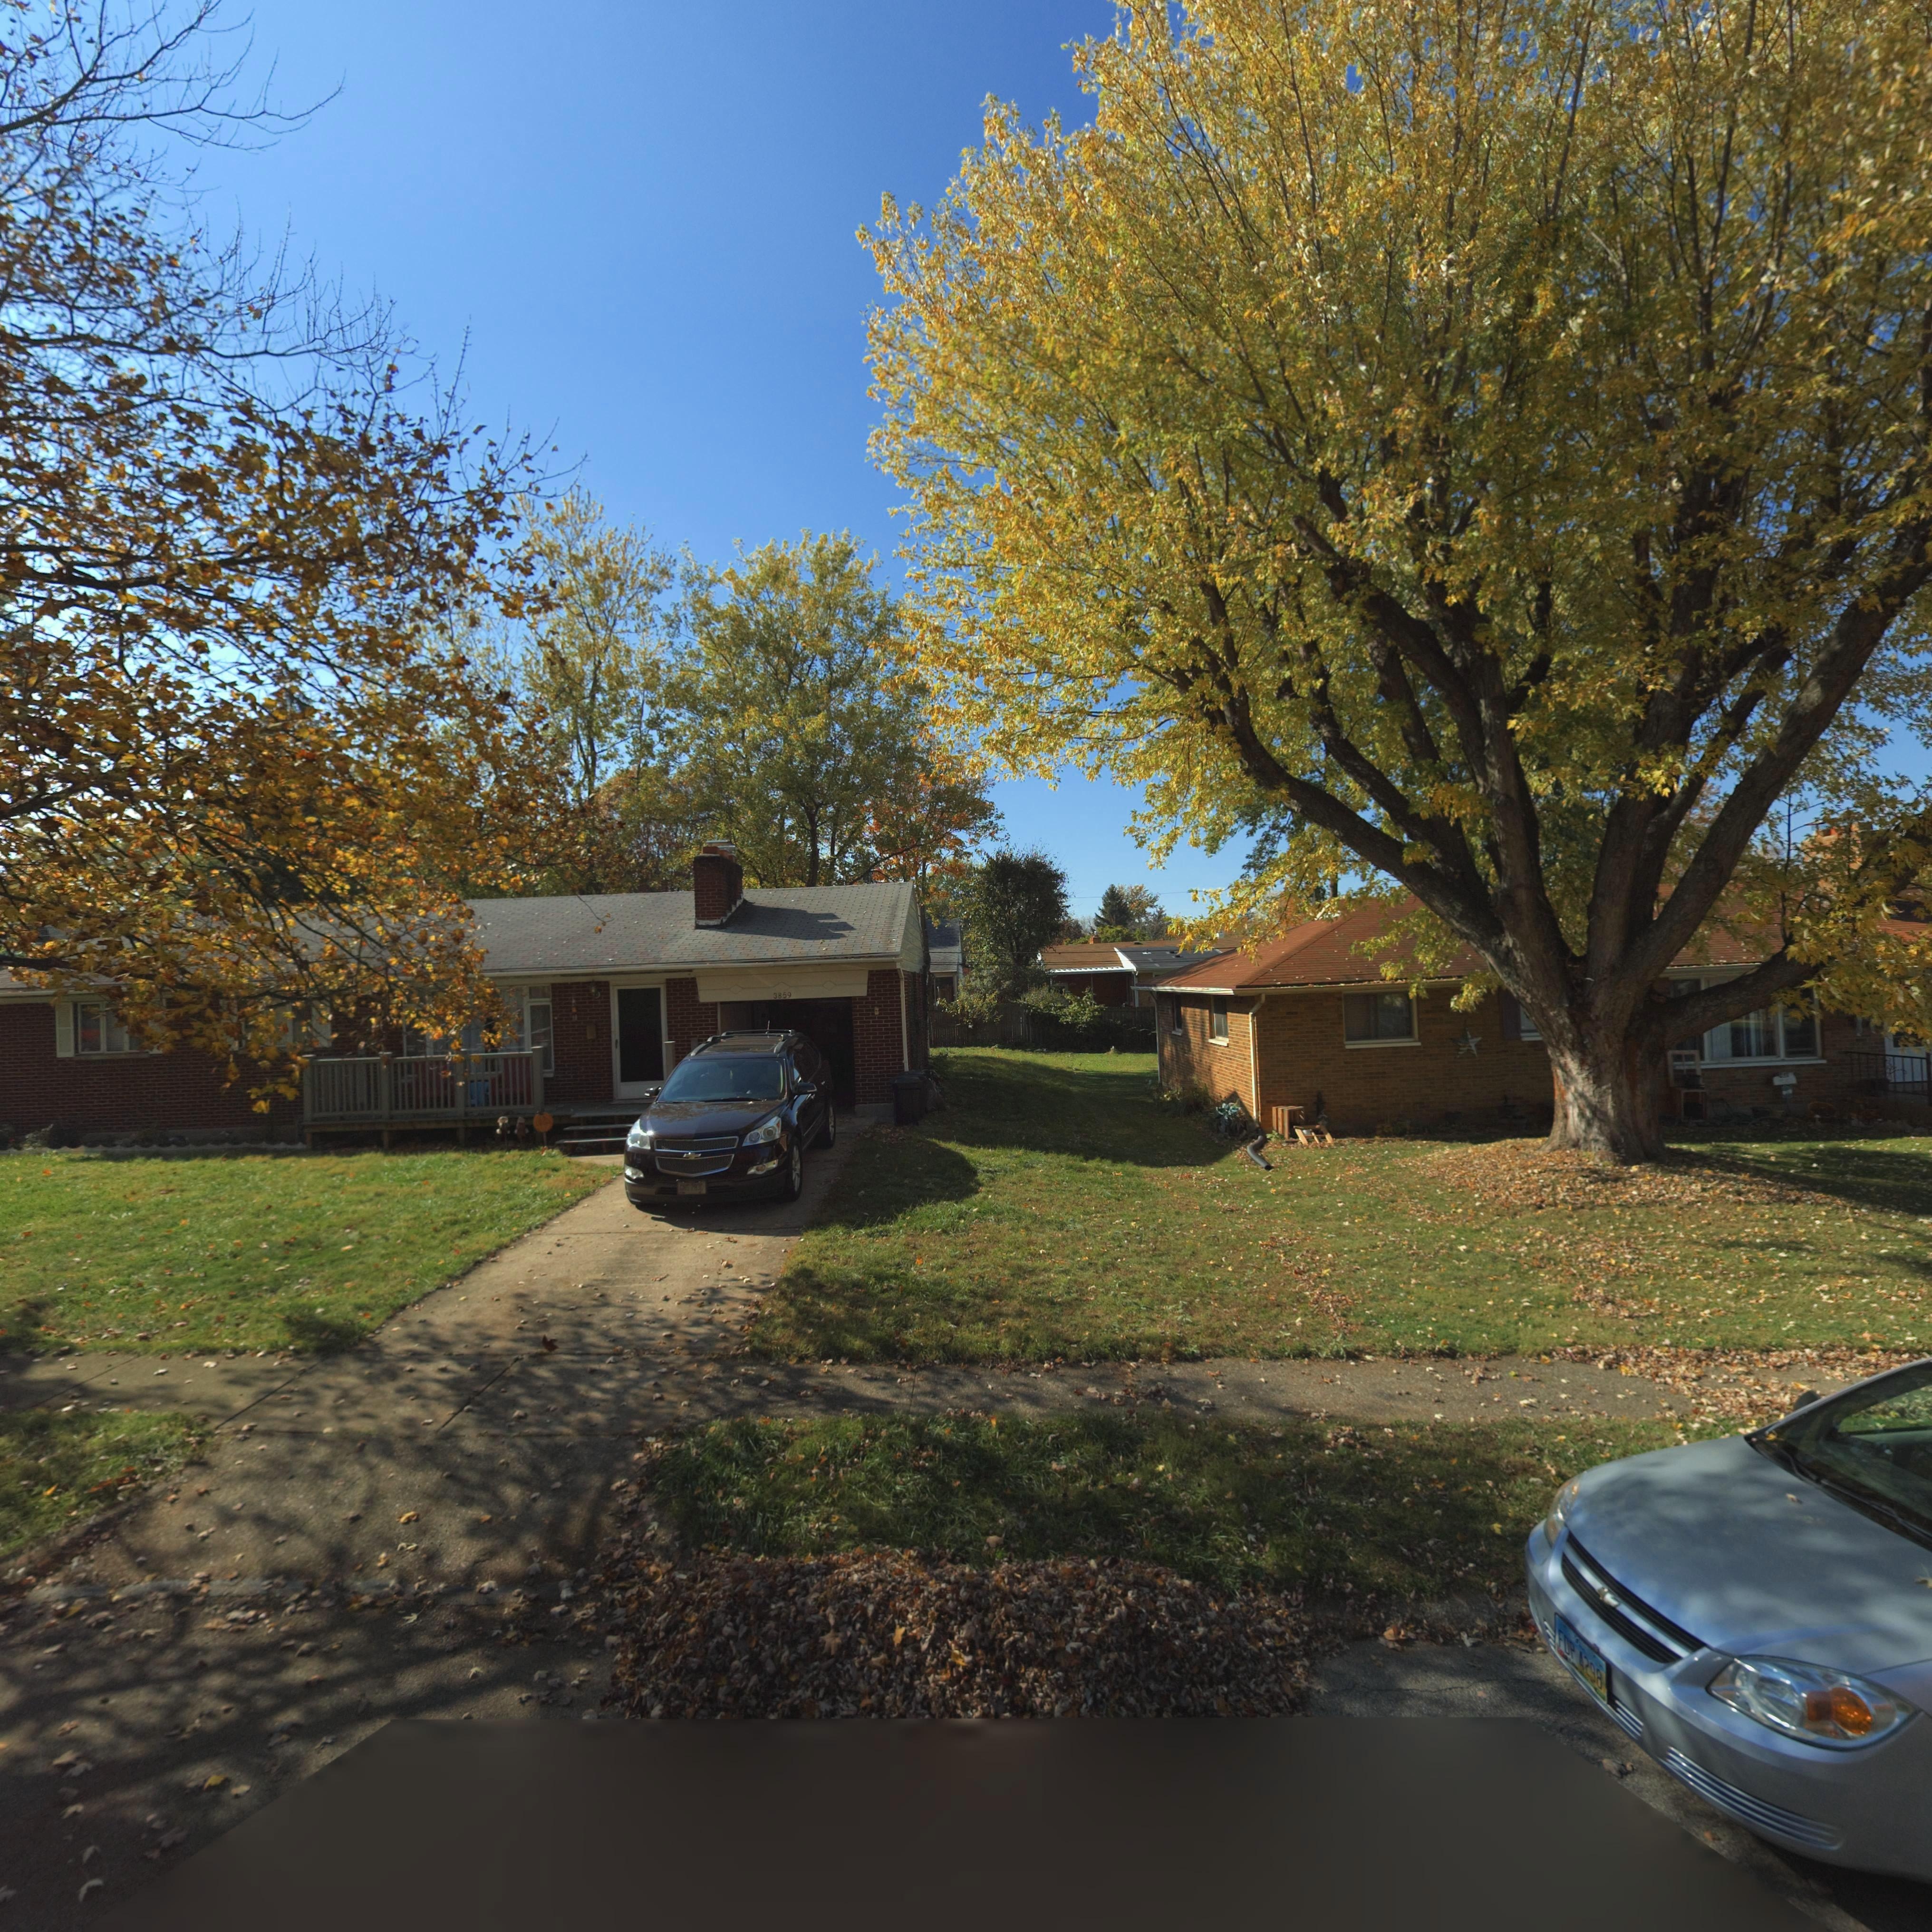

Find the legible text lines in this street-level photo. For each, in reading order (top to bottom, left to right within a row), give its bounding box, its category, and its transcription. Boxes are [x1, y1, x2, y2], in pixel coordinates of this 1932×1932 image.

[773, 990, 792, 1000] StreetNumber: 3859
[689, 1182, 705, 1192] None: 2*30
[1556, 1625, 1604, 1691] None: FDP 4298